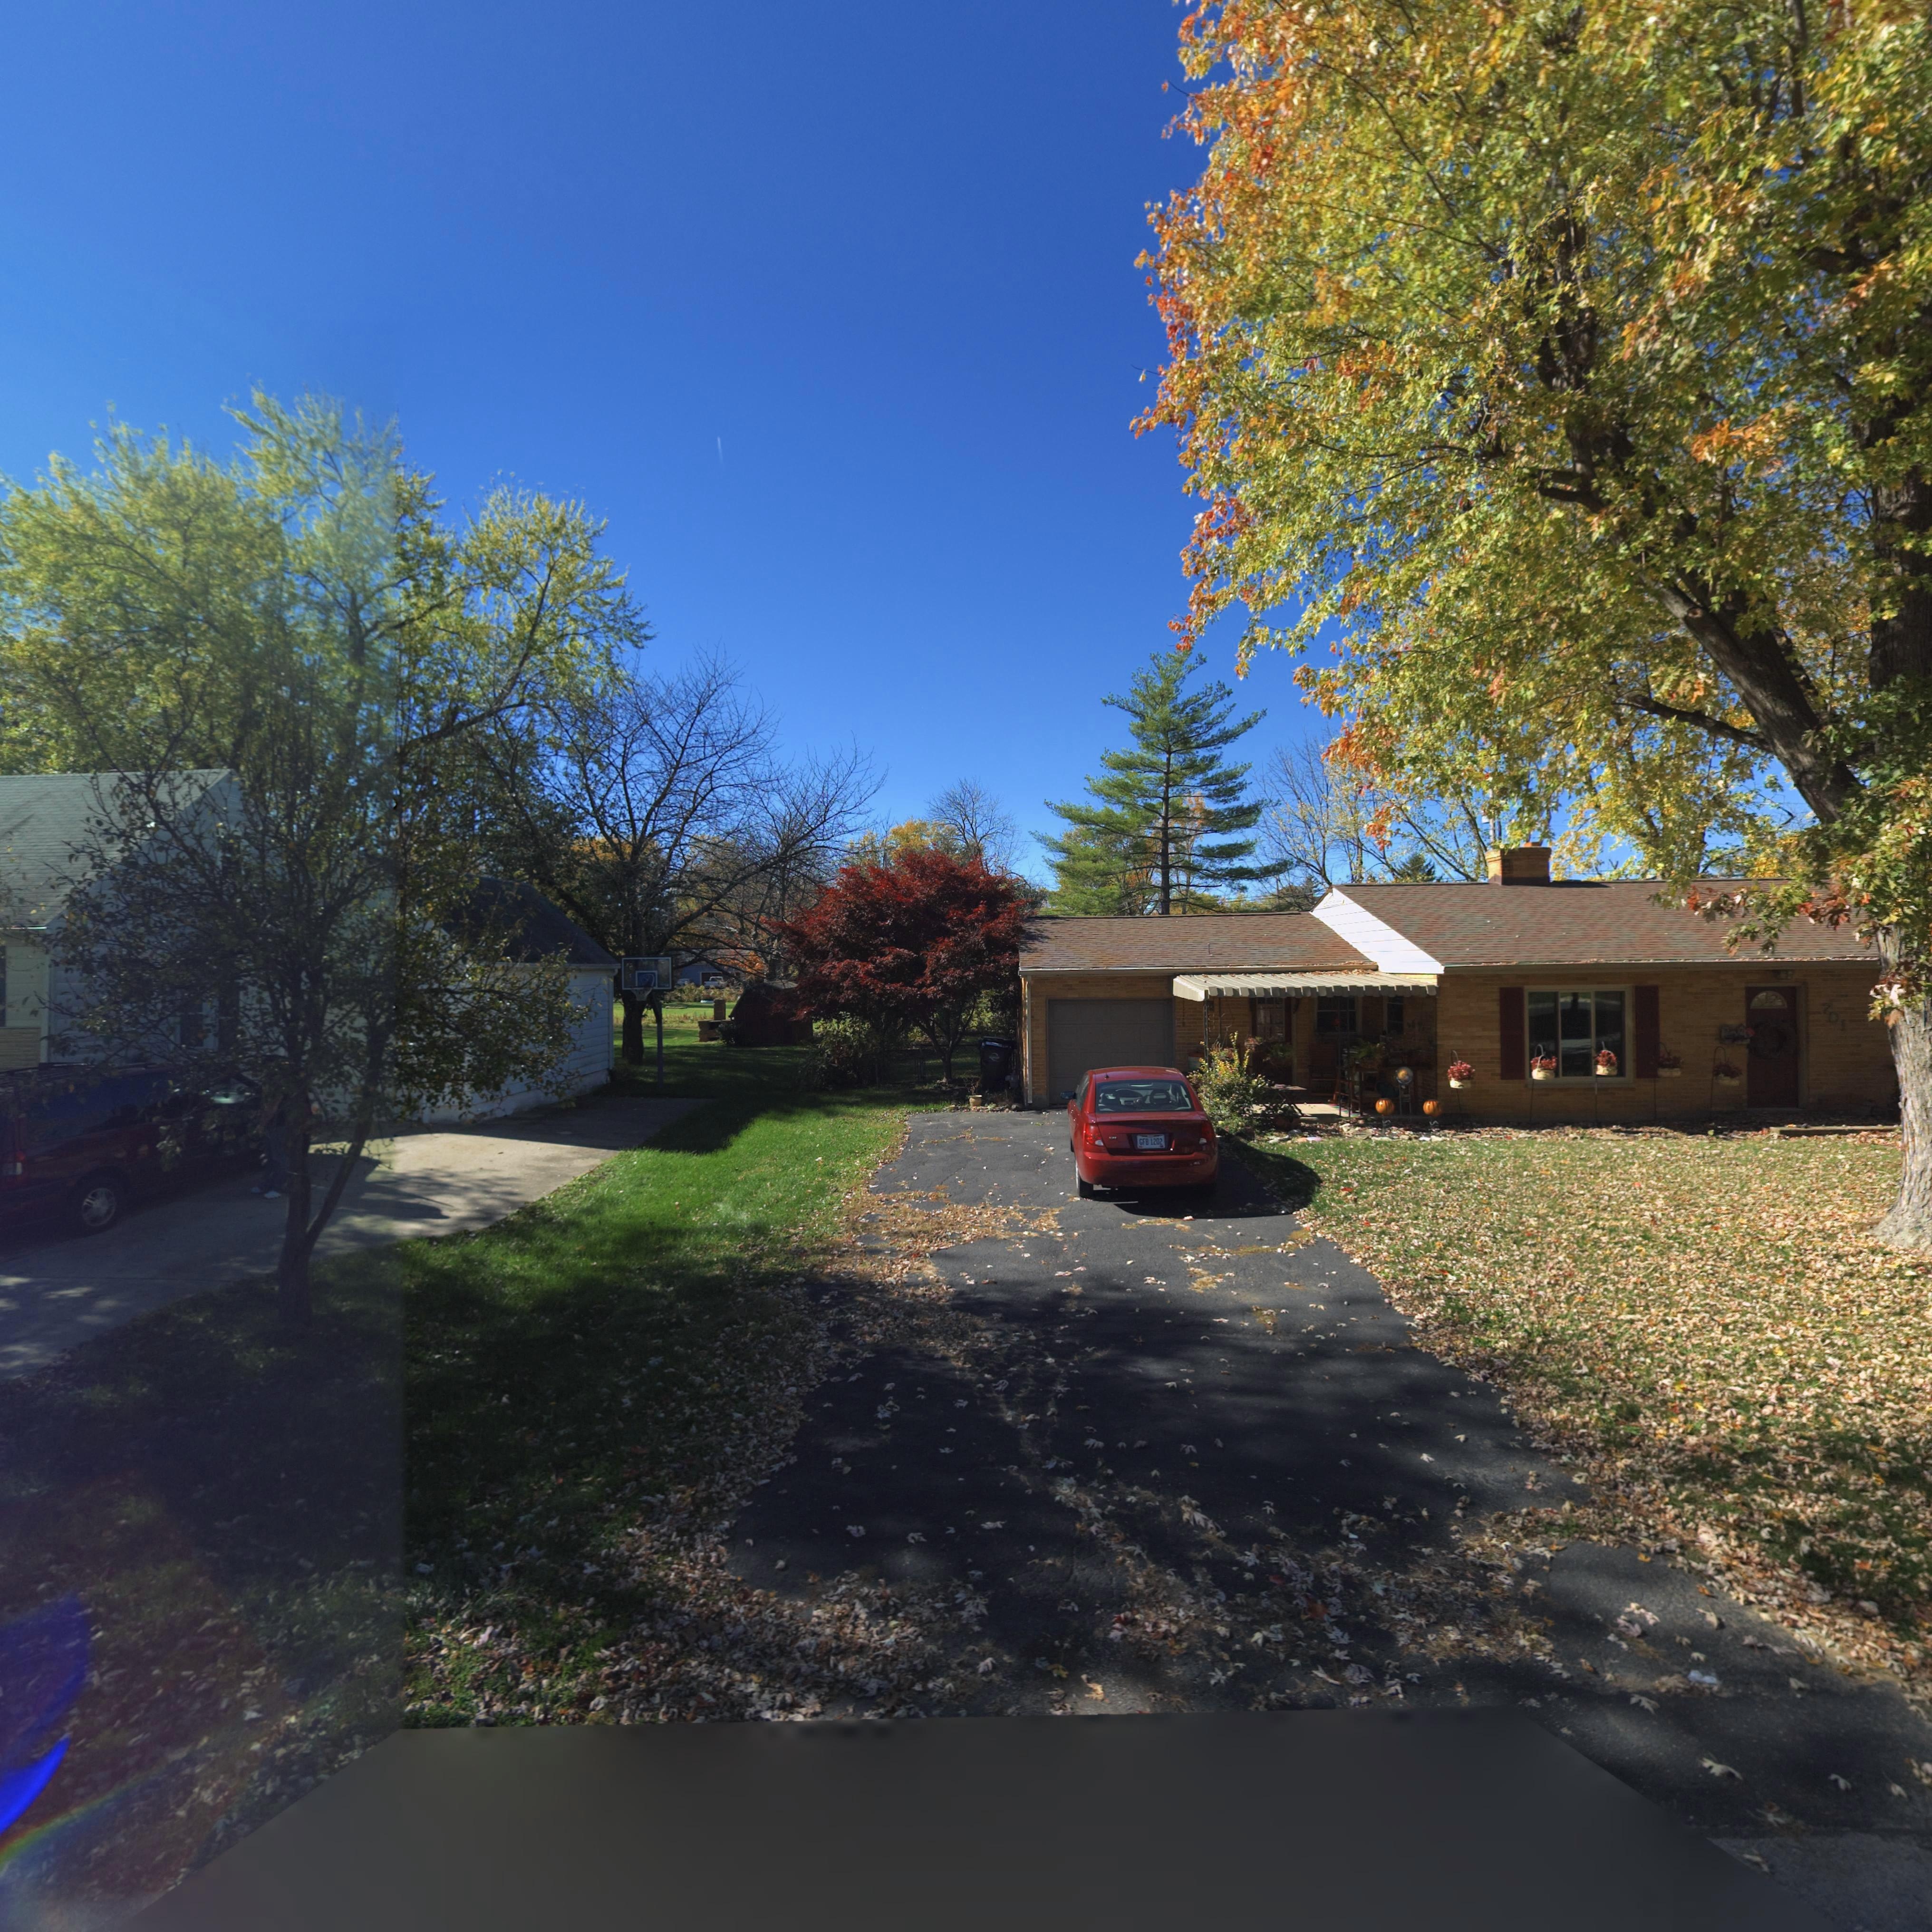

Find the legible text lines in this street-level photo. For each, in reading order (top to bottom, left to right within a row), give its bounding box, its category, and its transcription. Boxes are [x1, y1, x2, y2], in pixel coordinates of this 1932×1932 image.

[1822, 1003, 1846, 1031] StreetNumber: 701